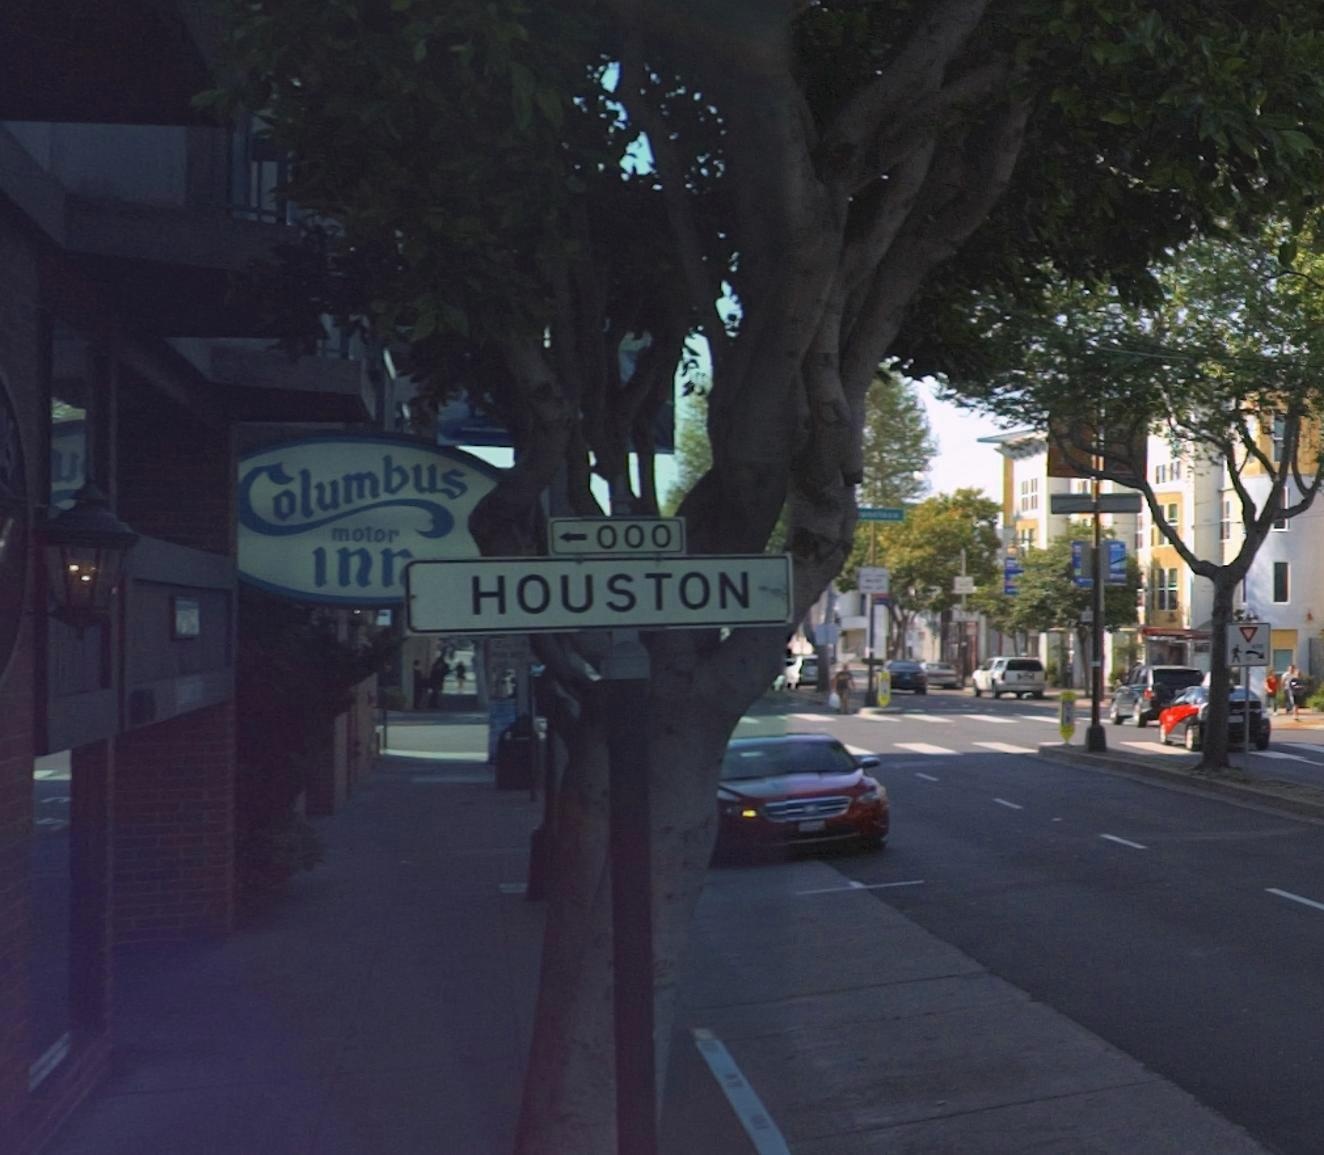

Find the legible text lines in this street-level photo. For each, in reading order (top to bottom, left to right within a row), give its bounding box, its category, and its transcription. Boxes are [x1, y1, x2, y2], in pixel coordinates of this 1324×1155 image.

[226, 450, 473, 544] BusinessName: Columbus
[328, 522, 405, 546] BusinessName: motor
[555, 520, 675, 553] StreetNumberRange: <-000
[306, 540, 382, 594] BusinessName: IN
[468, 565, 753, 622] StreetName: HOUSTON < [000]